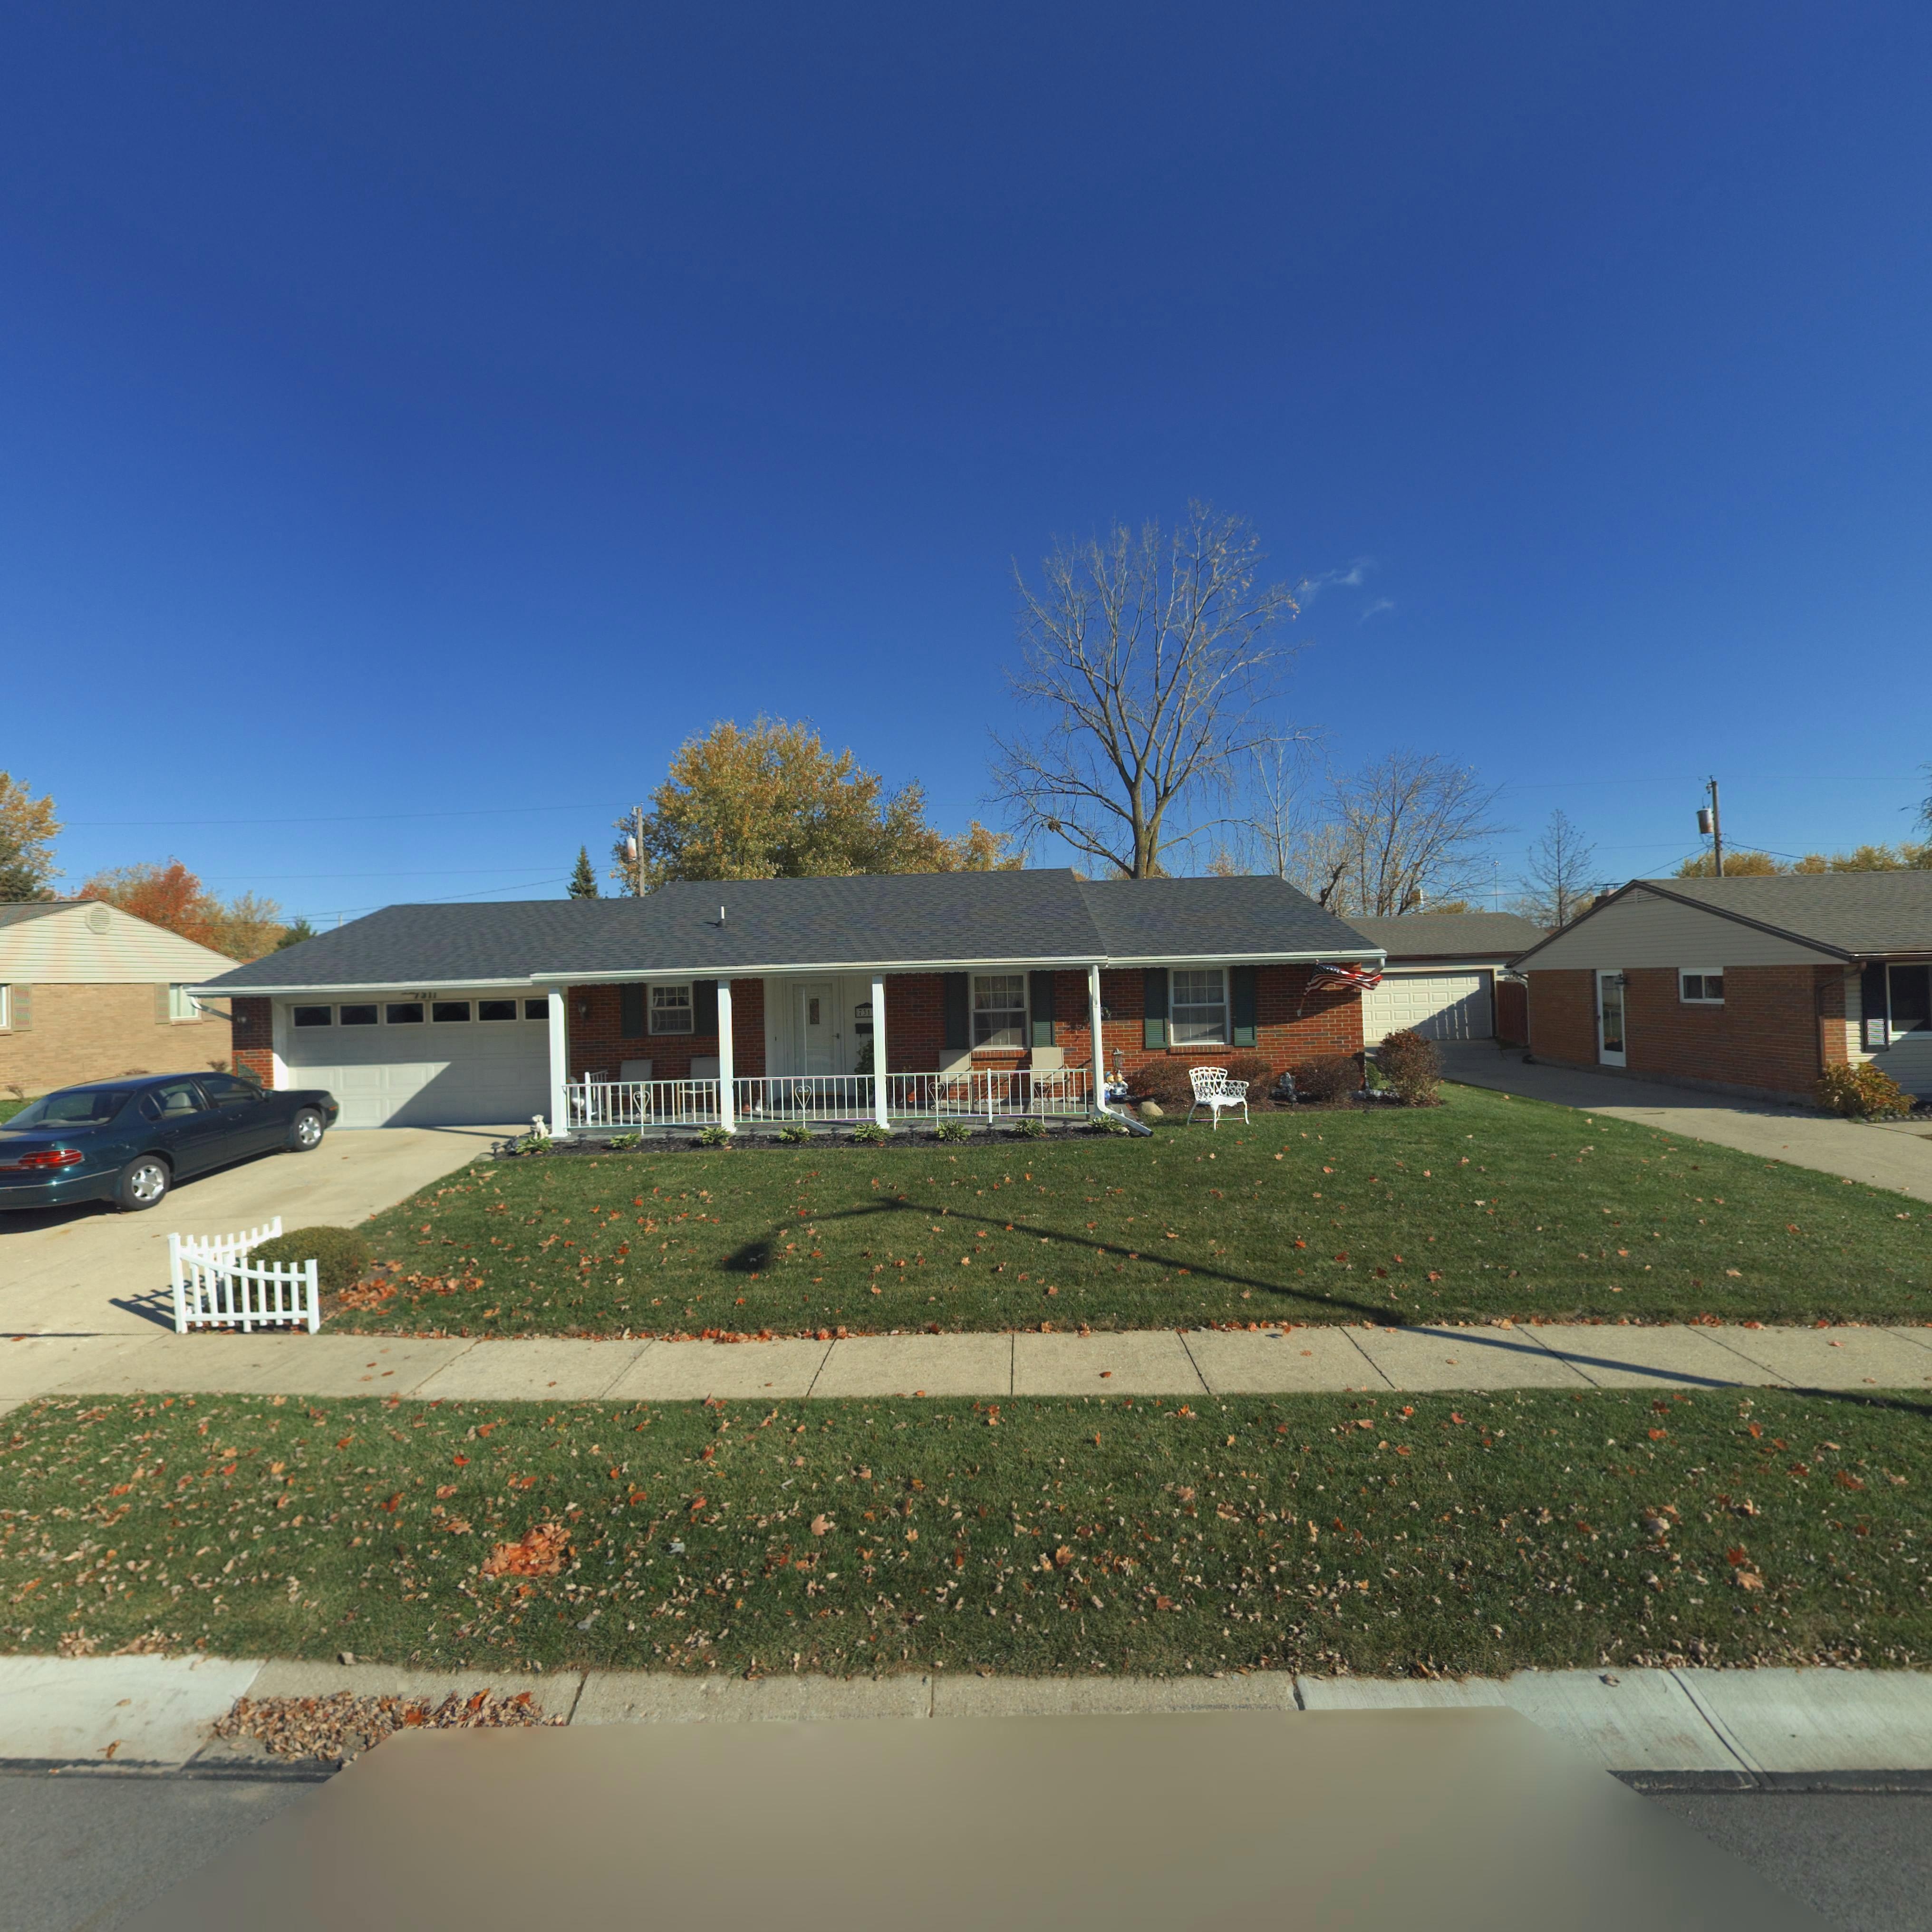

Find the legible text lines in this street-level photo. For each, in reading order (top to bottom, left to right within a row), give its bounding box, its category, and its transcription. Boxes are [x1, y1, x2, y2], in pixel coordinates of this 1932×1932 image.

[858, 1008, 871, 1017] StreetNumber: 731